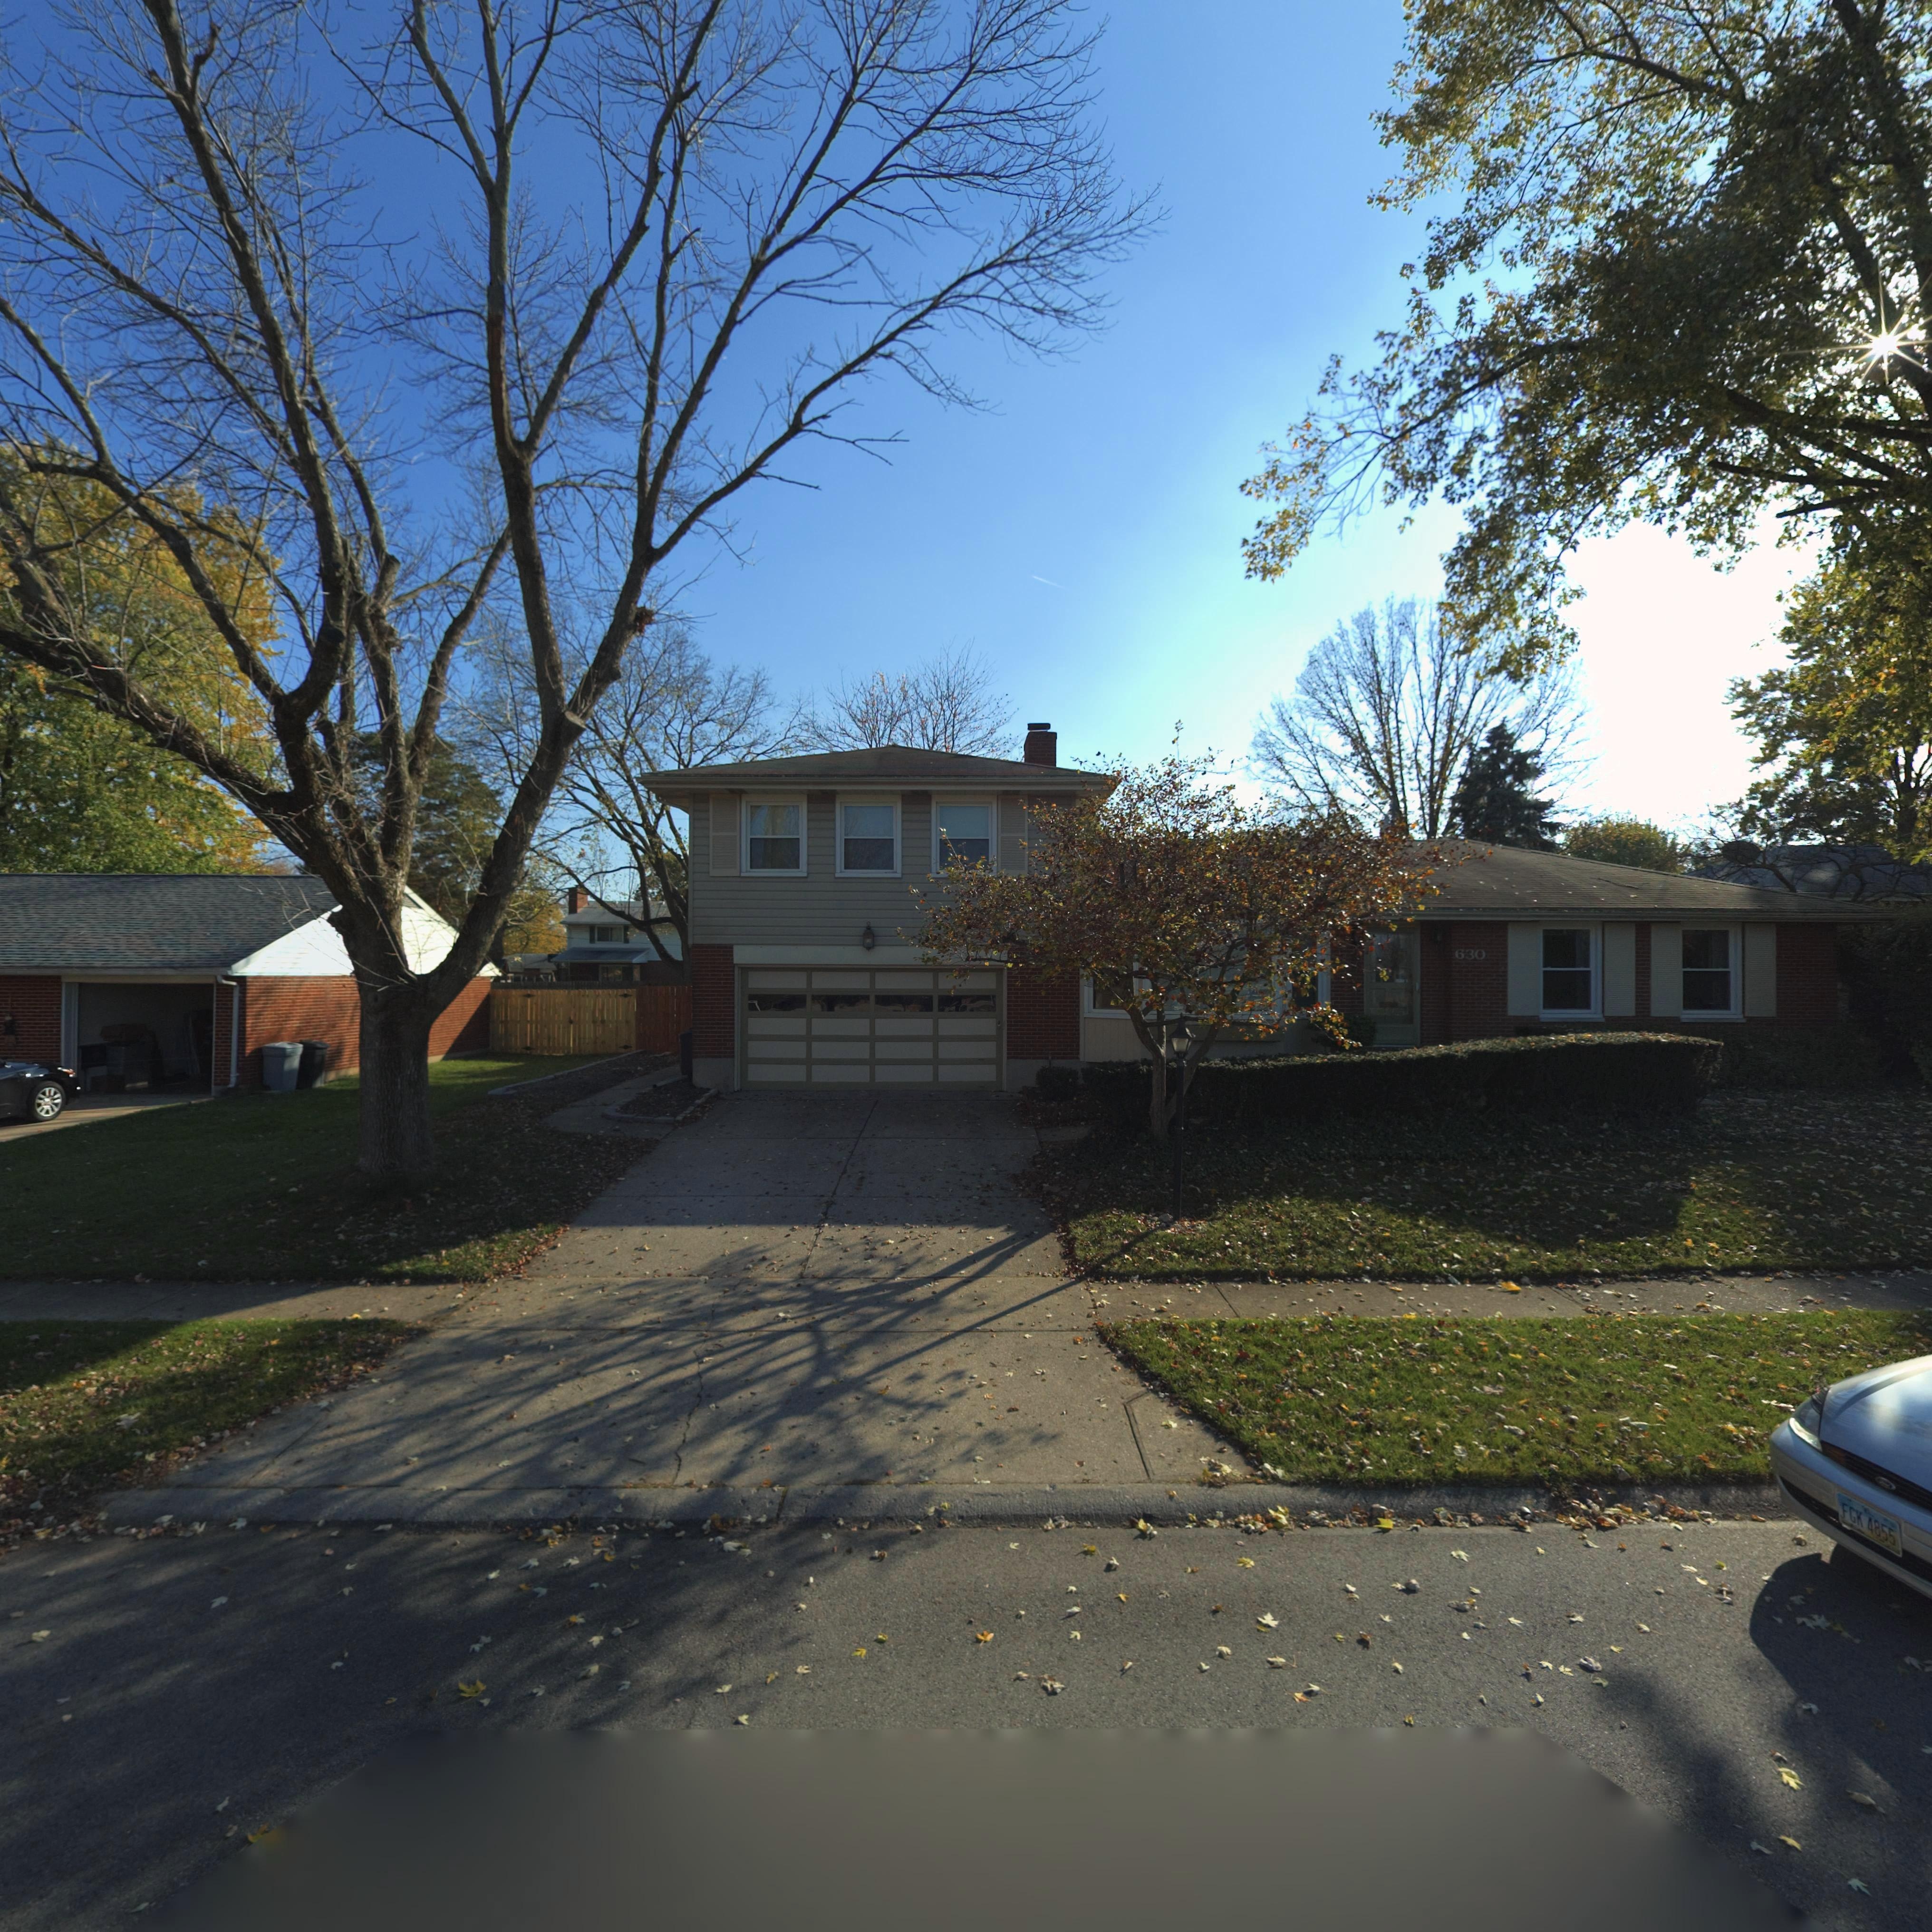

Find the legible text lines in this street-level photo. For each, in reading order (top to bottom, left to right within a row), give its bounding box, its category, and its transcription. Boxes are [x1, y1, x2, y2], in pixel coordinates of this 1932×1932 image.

[1454, 948, 1487, 960] StreetNumber: 630